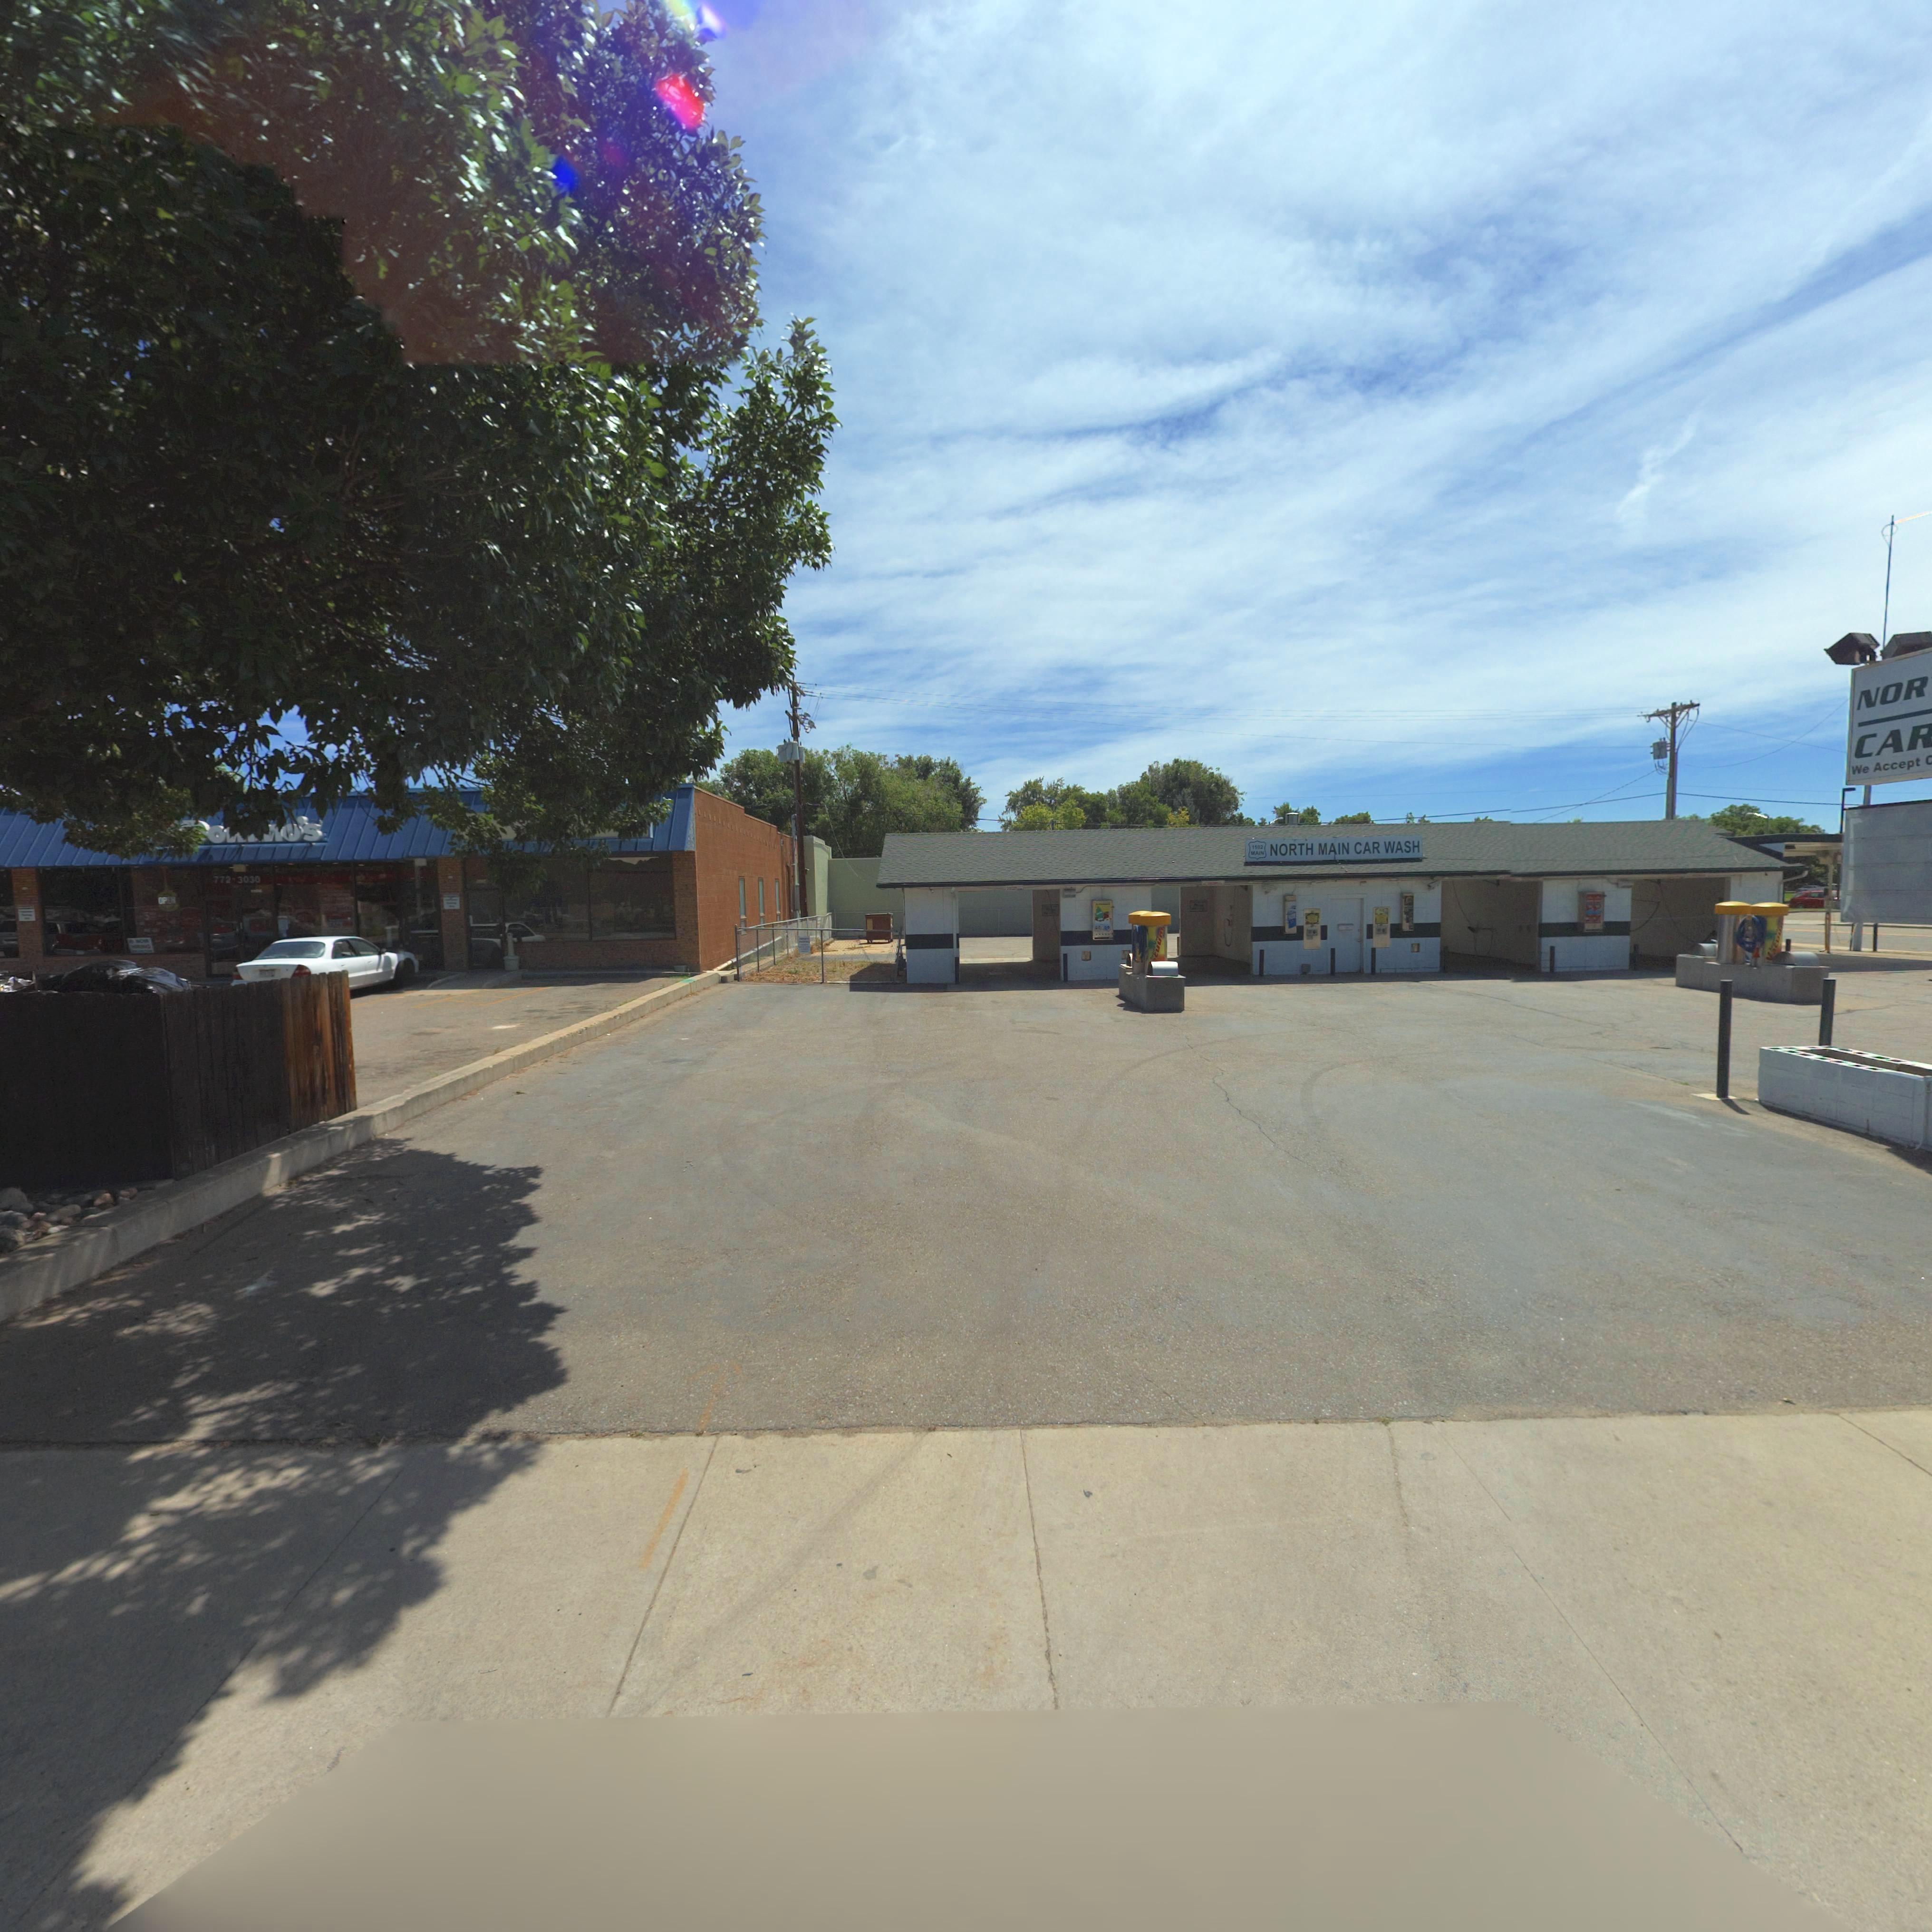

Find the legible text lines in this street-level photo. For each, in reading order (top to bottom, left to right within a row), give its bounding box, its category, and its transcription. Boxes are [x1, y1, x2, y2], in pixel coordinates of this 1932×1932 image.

[1856, 675, 1929, 710] BusinessName: NOR
[1854, 727, 1904, 759] BusinessName: CA
[179, 814, 323, 844] BusinessName: *o****'s
[1250, 850, 1264, 855] StreetName: MAIN
[1252, 844, 1263, 850] StreetNumber: 1102
[1270, 840, 1420, 856] BusinessName: NORTH MAIN CAR WASH